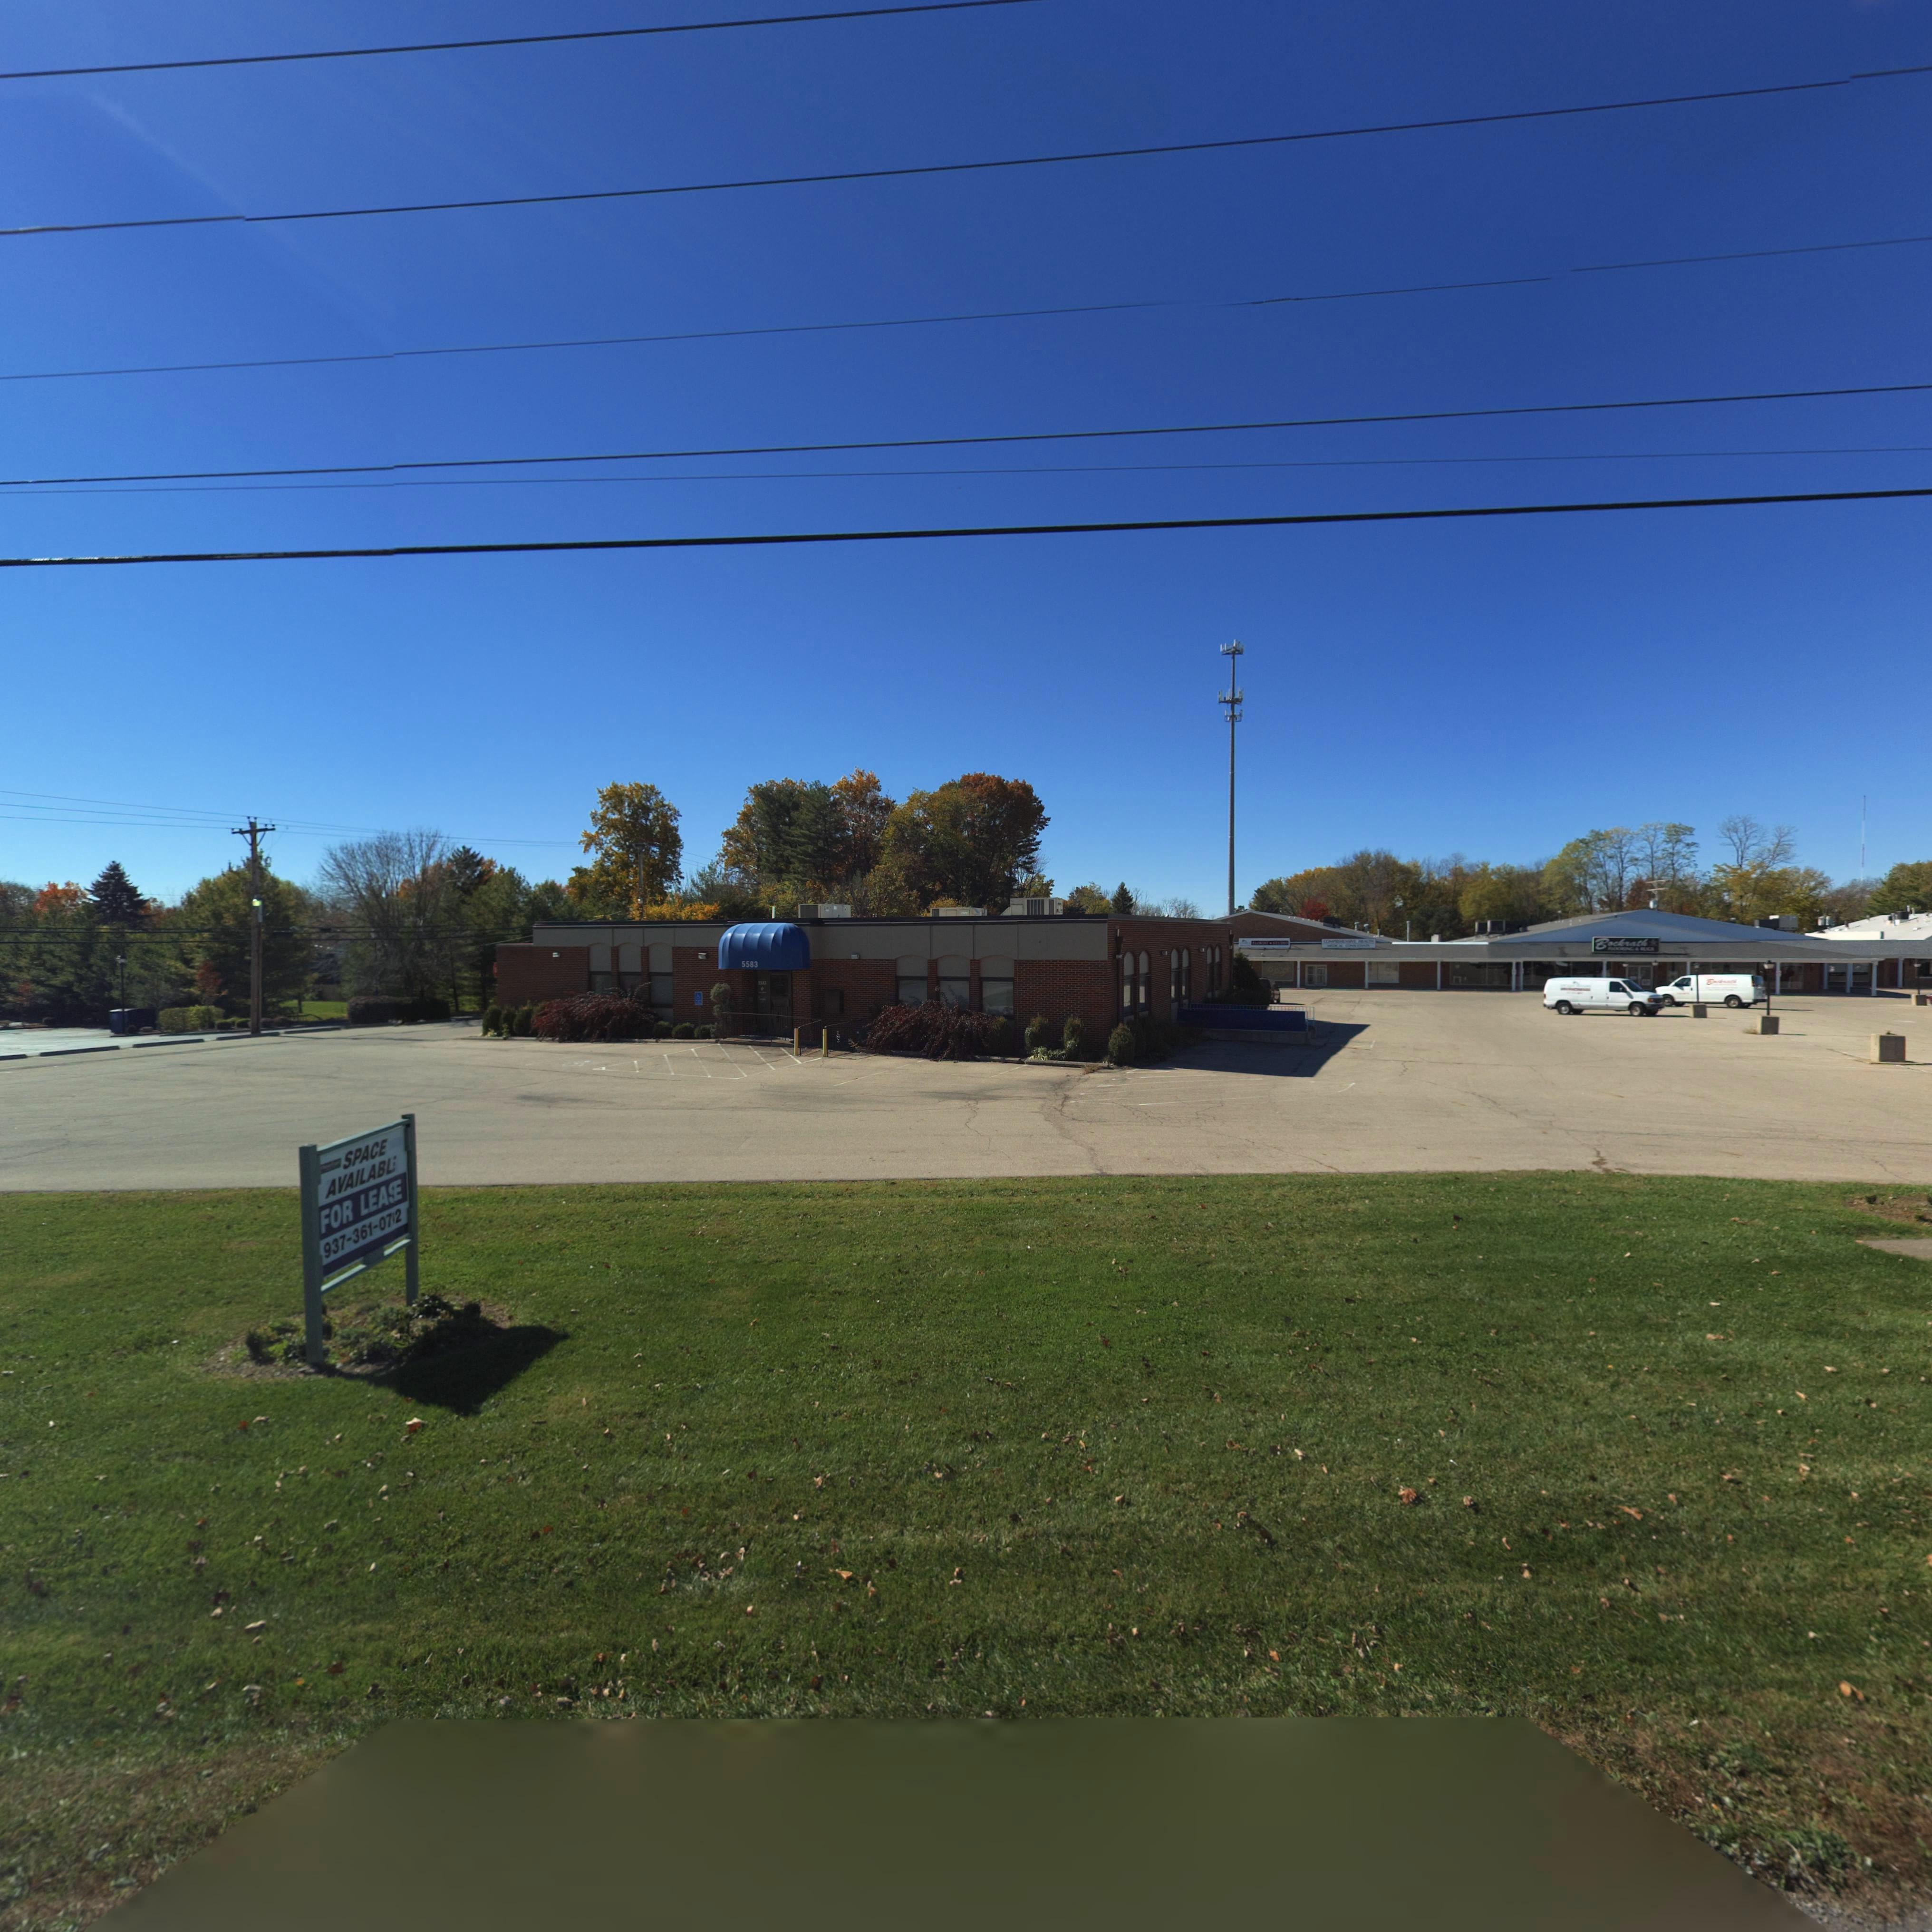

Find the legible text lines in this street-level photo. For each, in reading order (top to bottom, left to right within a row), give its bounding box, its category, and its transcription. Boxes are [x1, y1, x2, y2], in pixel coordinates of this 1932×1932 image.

[1251, 941, 1289, 946] BusinessName: FLORIST * STUD*O
[1322, 939, 1375, 944] BusinessName: COMPREHENSIVE HEALTH
[1594, 938, 1650, 951] BusinessName: Bockrath
[741, 960, 759, 968] StreetNumber: 5583
[342, 1136, 390, 1171] None: SPACE
[324, 1154, 397, 1201] None: AVAILABLE
[319, 1176, 403, 1236] None: FOR LEA*E
[321, 1207, 403, 1261] None: 937-361-07*2